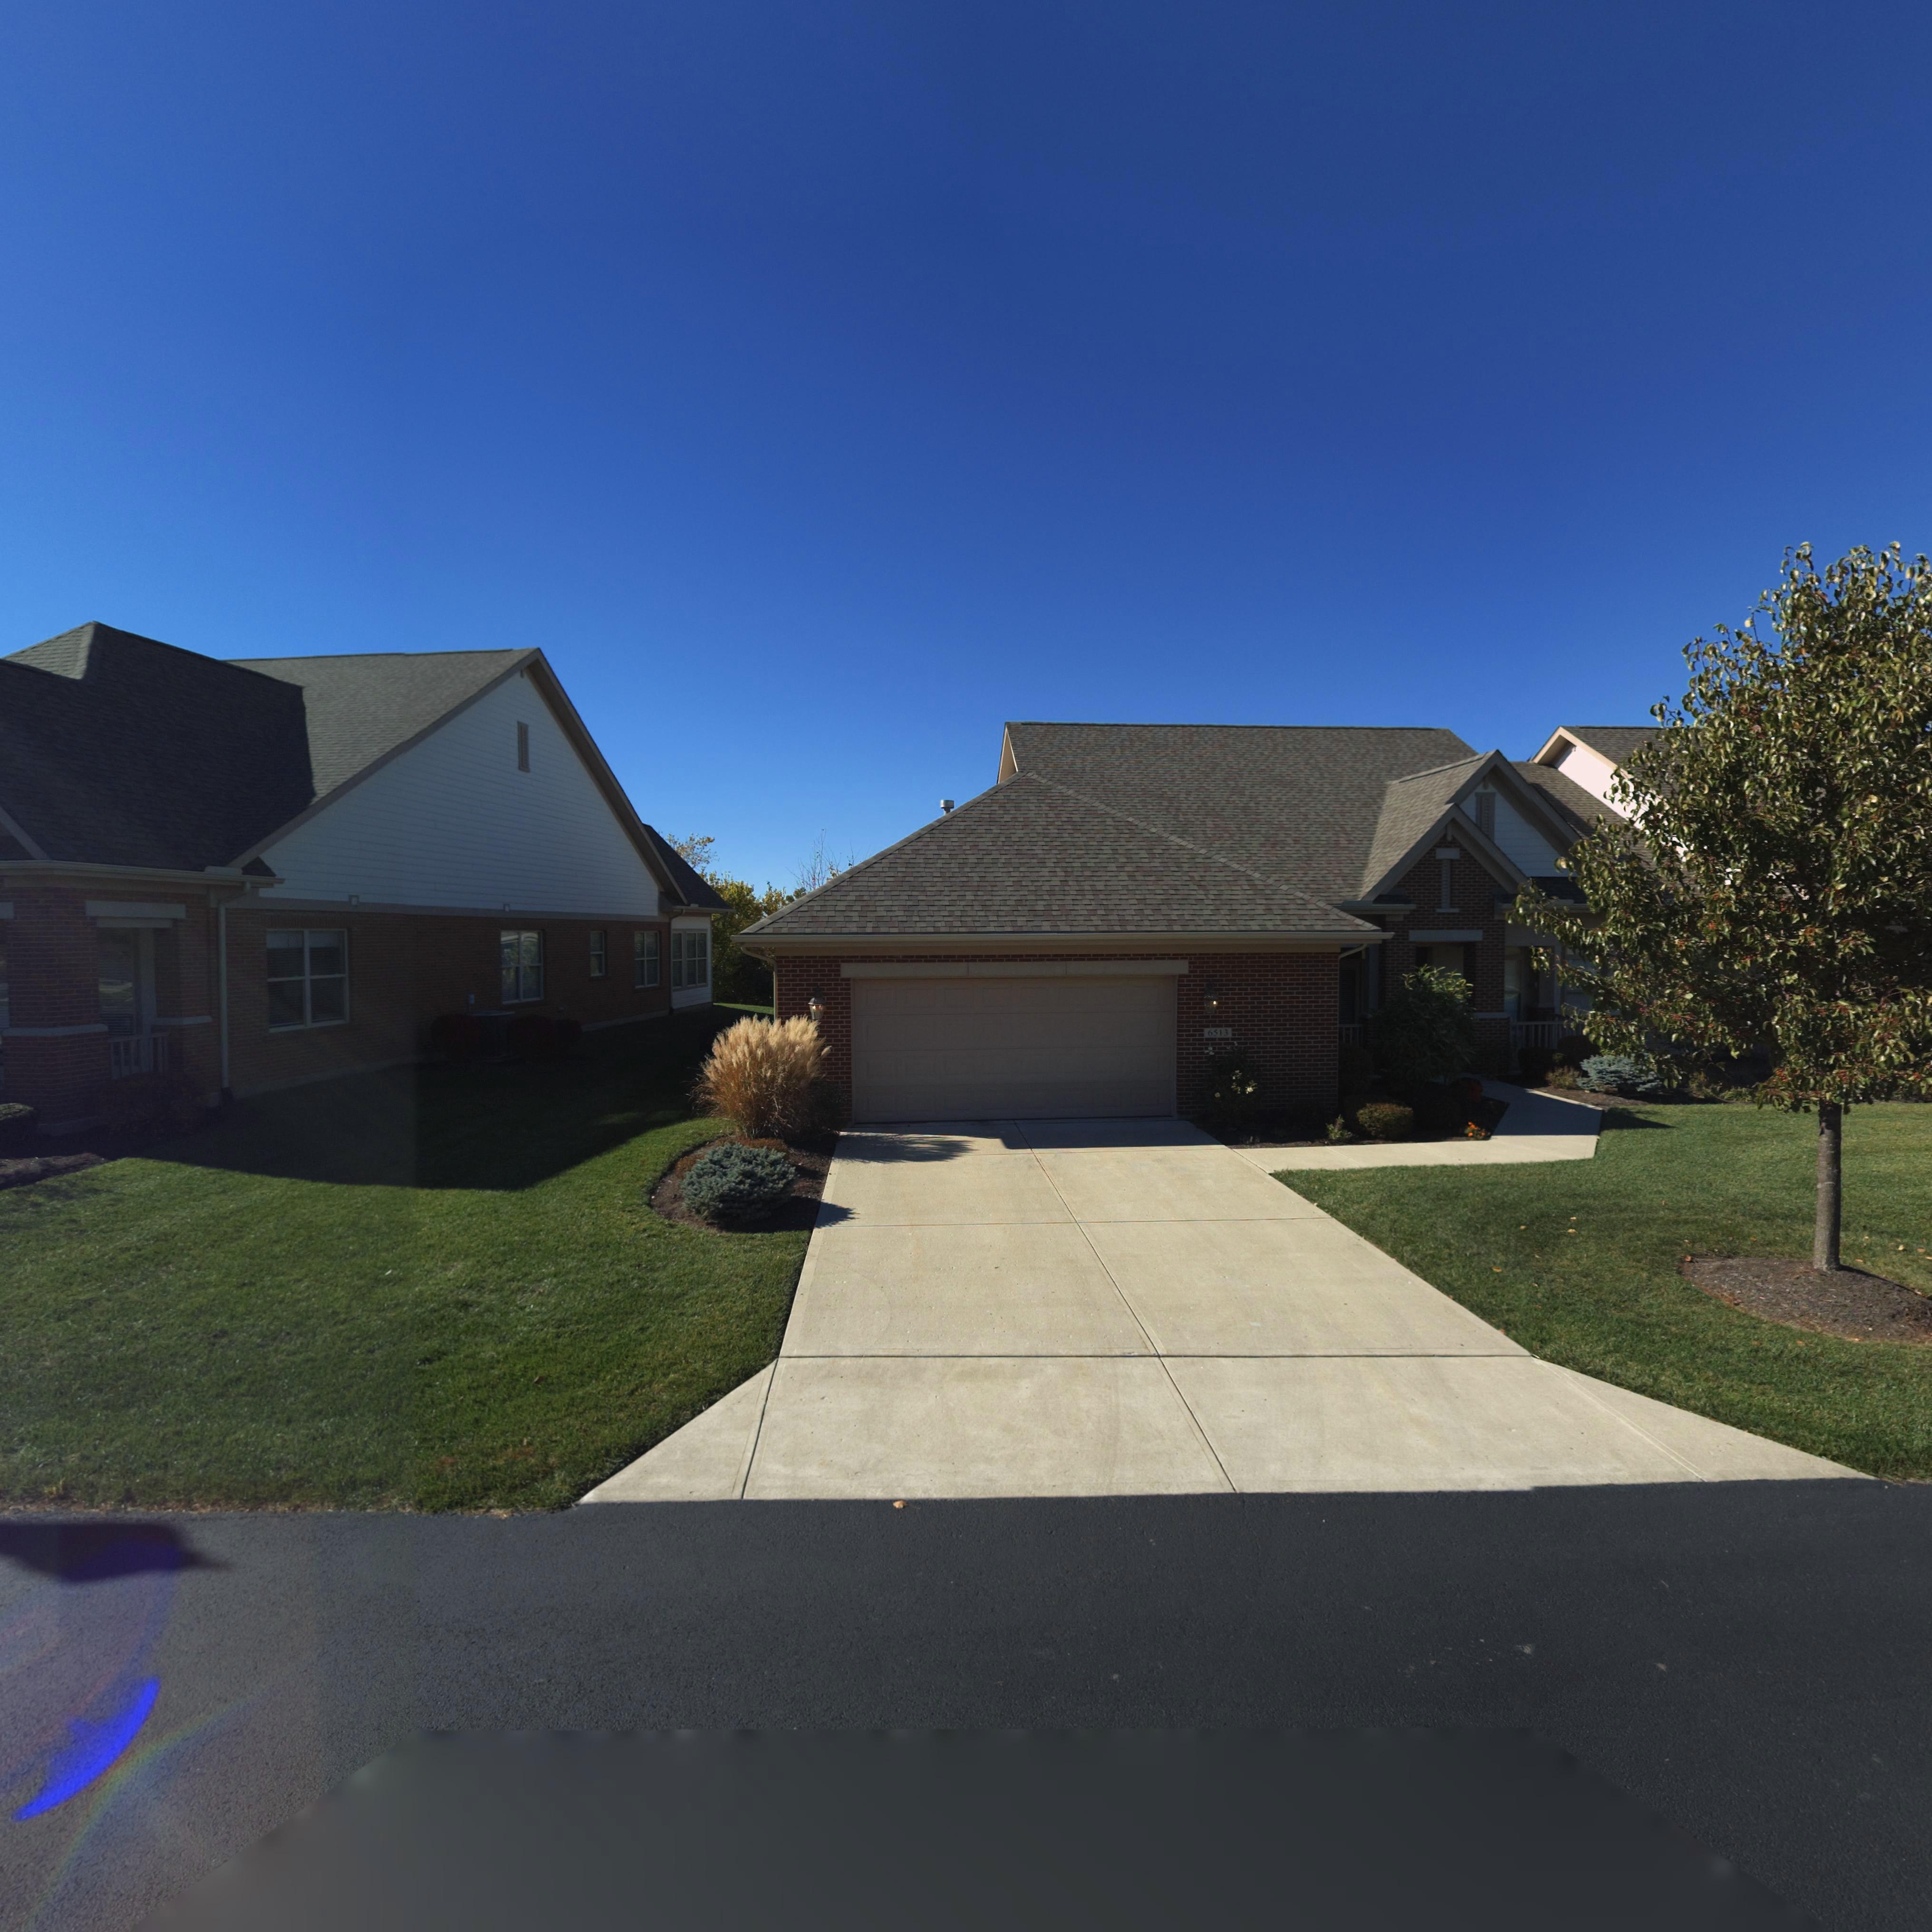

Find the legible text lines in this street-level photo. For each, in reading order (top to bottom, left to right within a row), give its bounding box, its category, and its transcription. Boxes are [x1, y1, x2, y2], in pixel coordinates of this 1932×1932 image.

[1207, 1029, 1229, 1037] StreetNumber: 6513